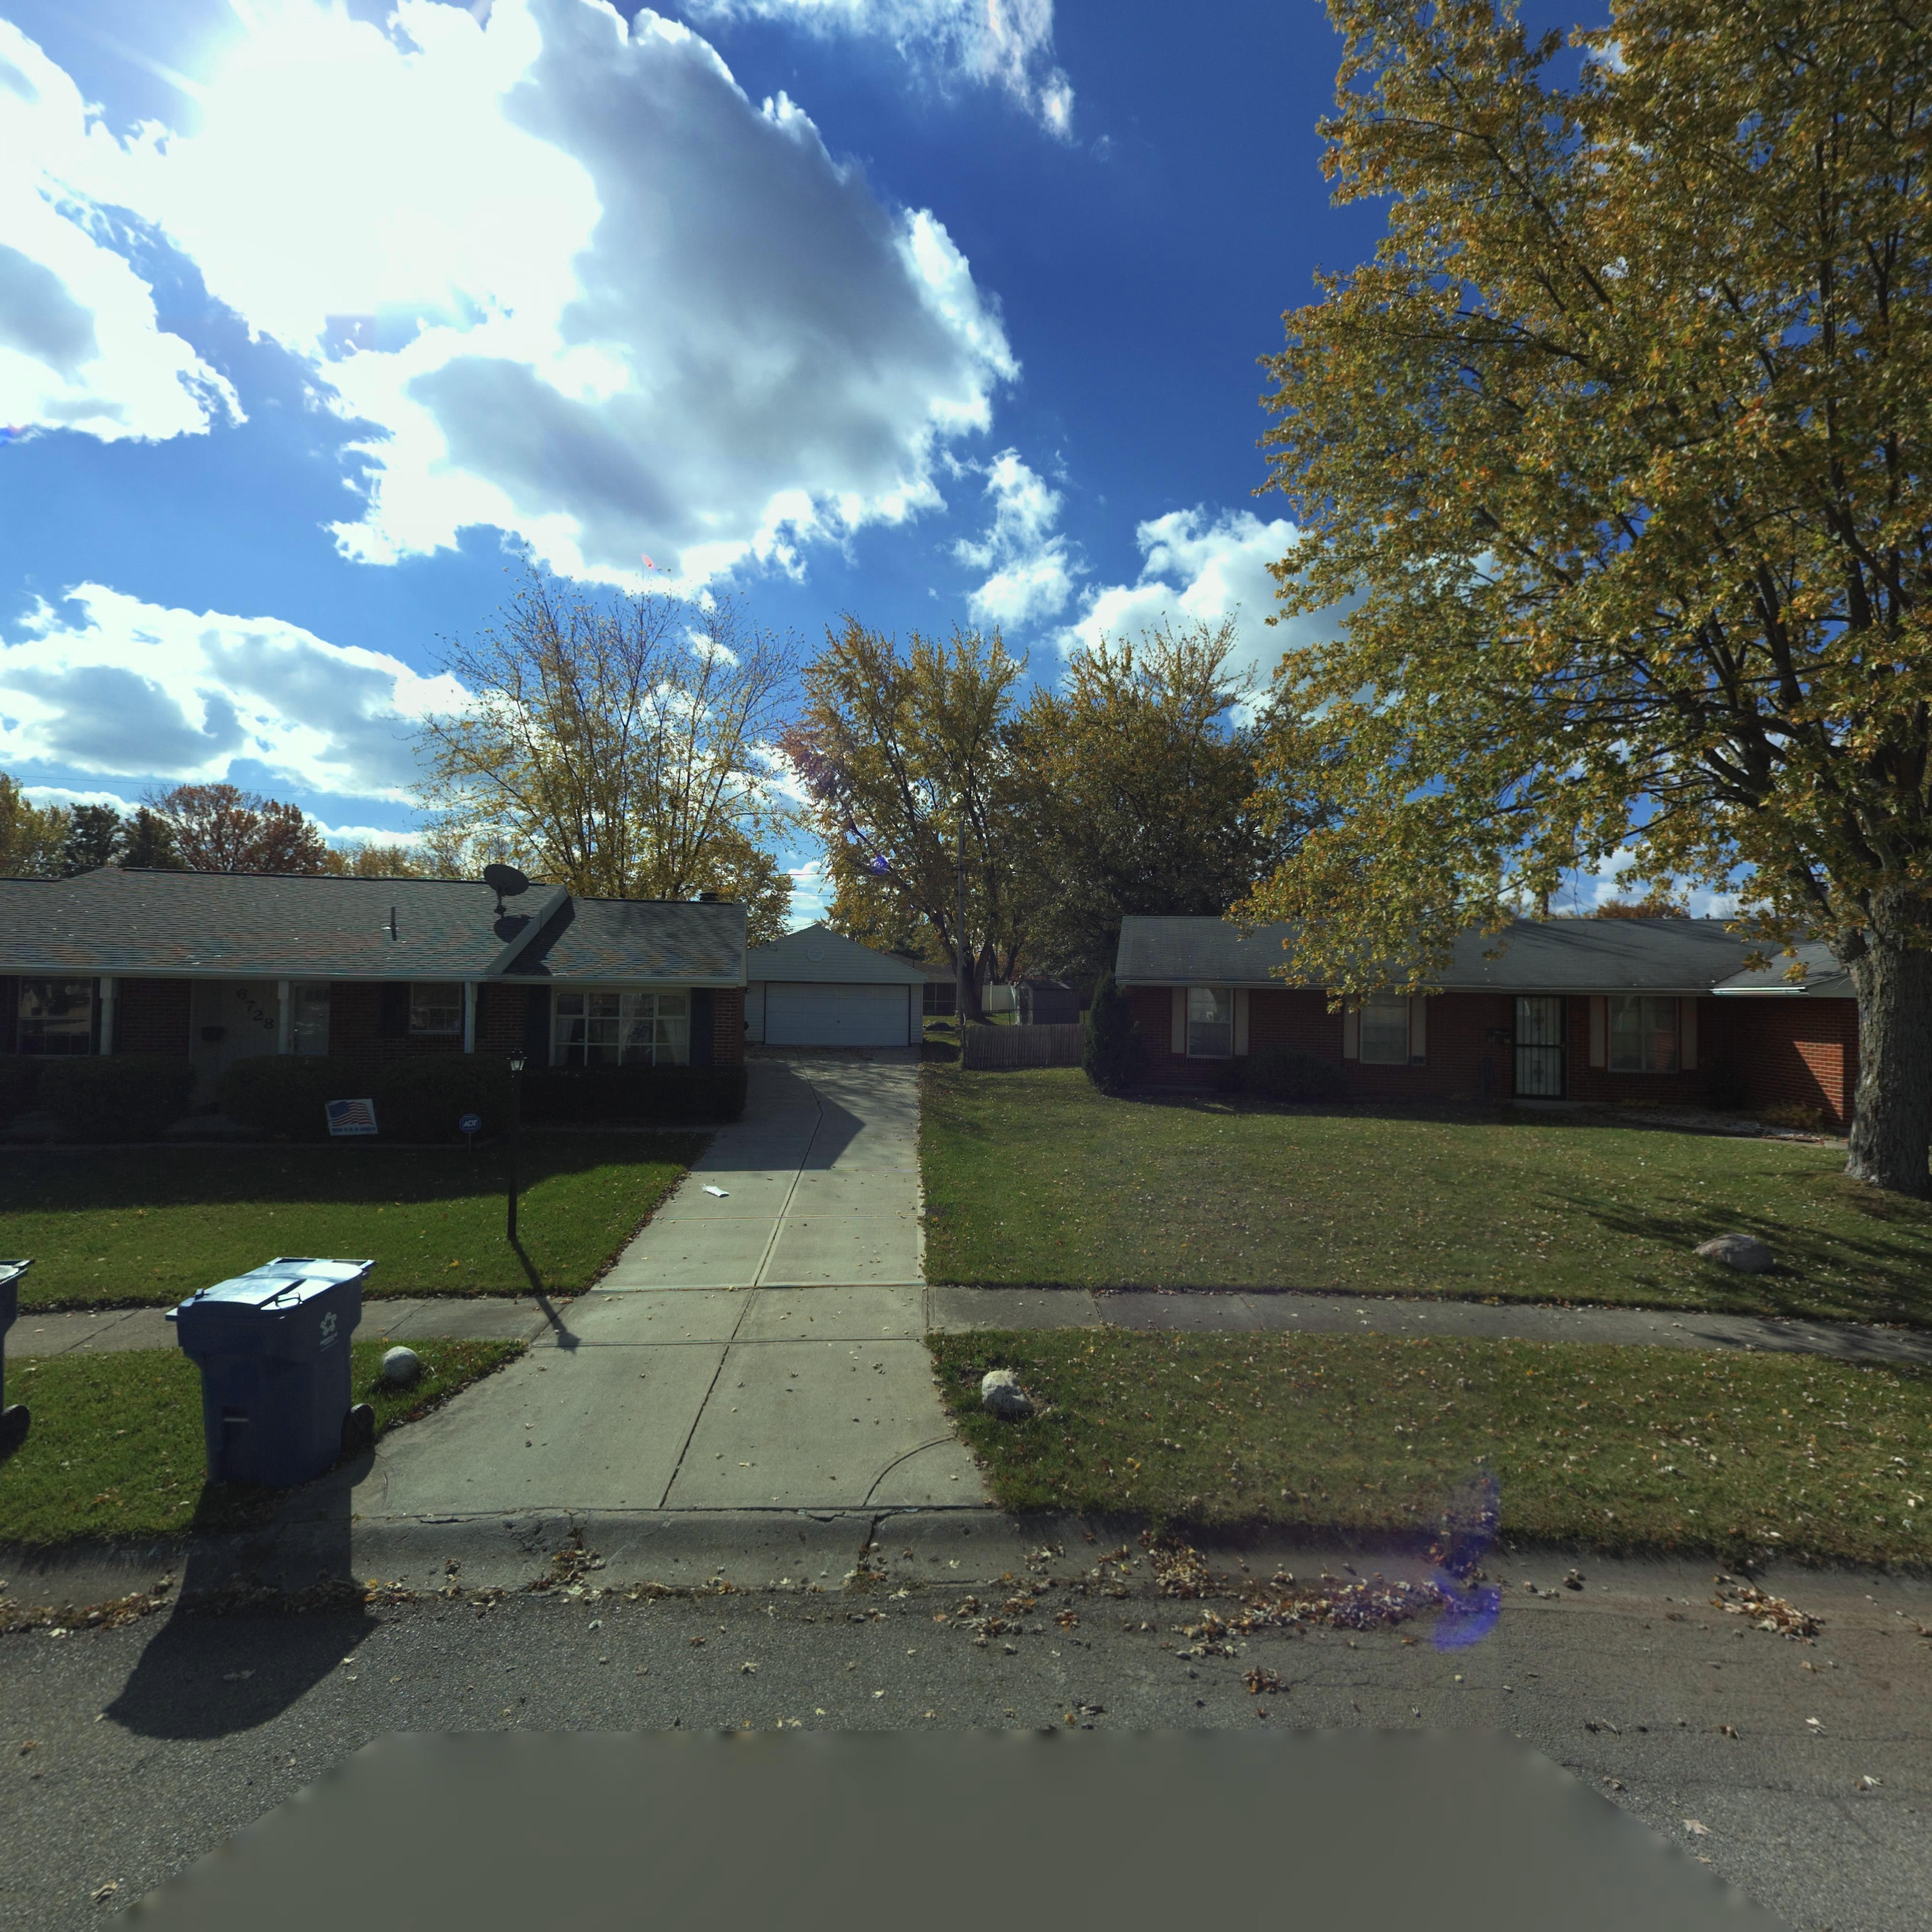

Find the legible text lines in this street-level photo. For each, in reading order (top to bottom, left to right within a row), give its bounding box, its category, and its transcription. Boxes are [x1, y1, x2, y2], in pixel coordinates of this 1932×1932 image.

[236, 987, 274, 1030] StreetNumber: 6728
[1486, 1035, 1511, 1045] StreetNumber: 67*14